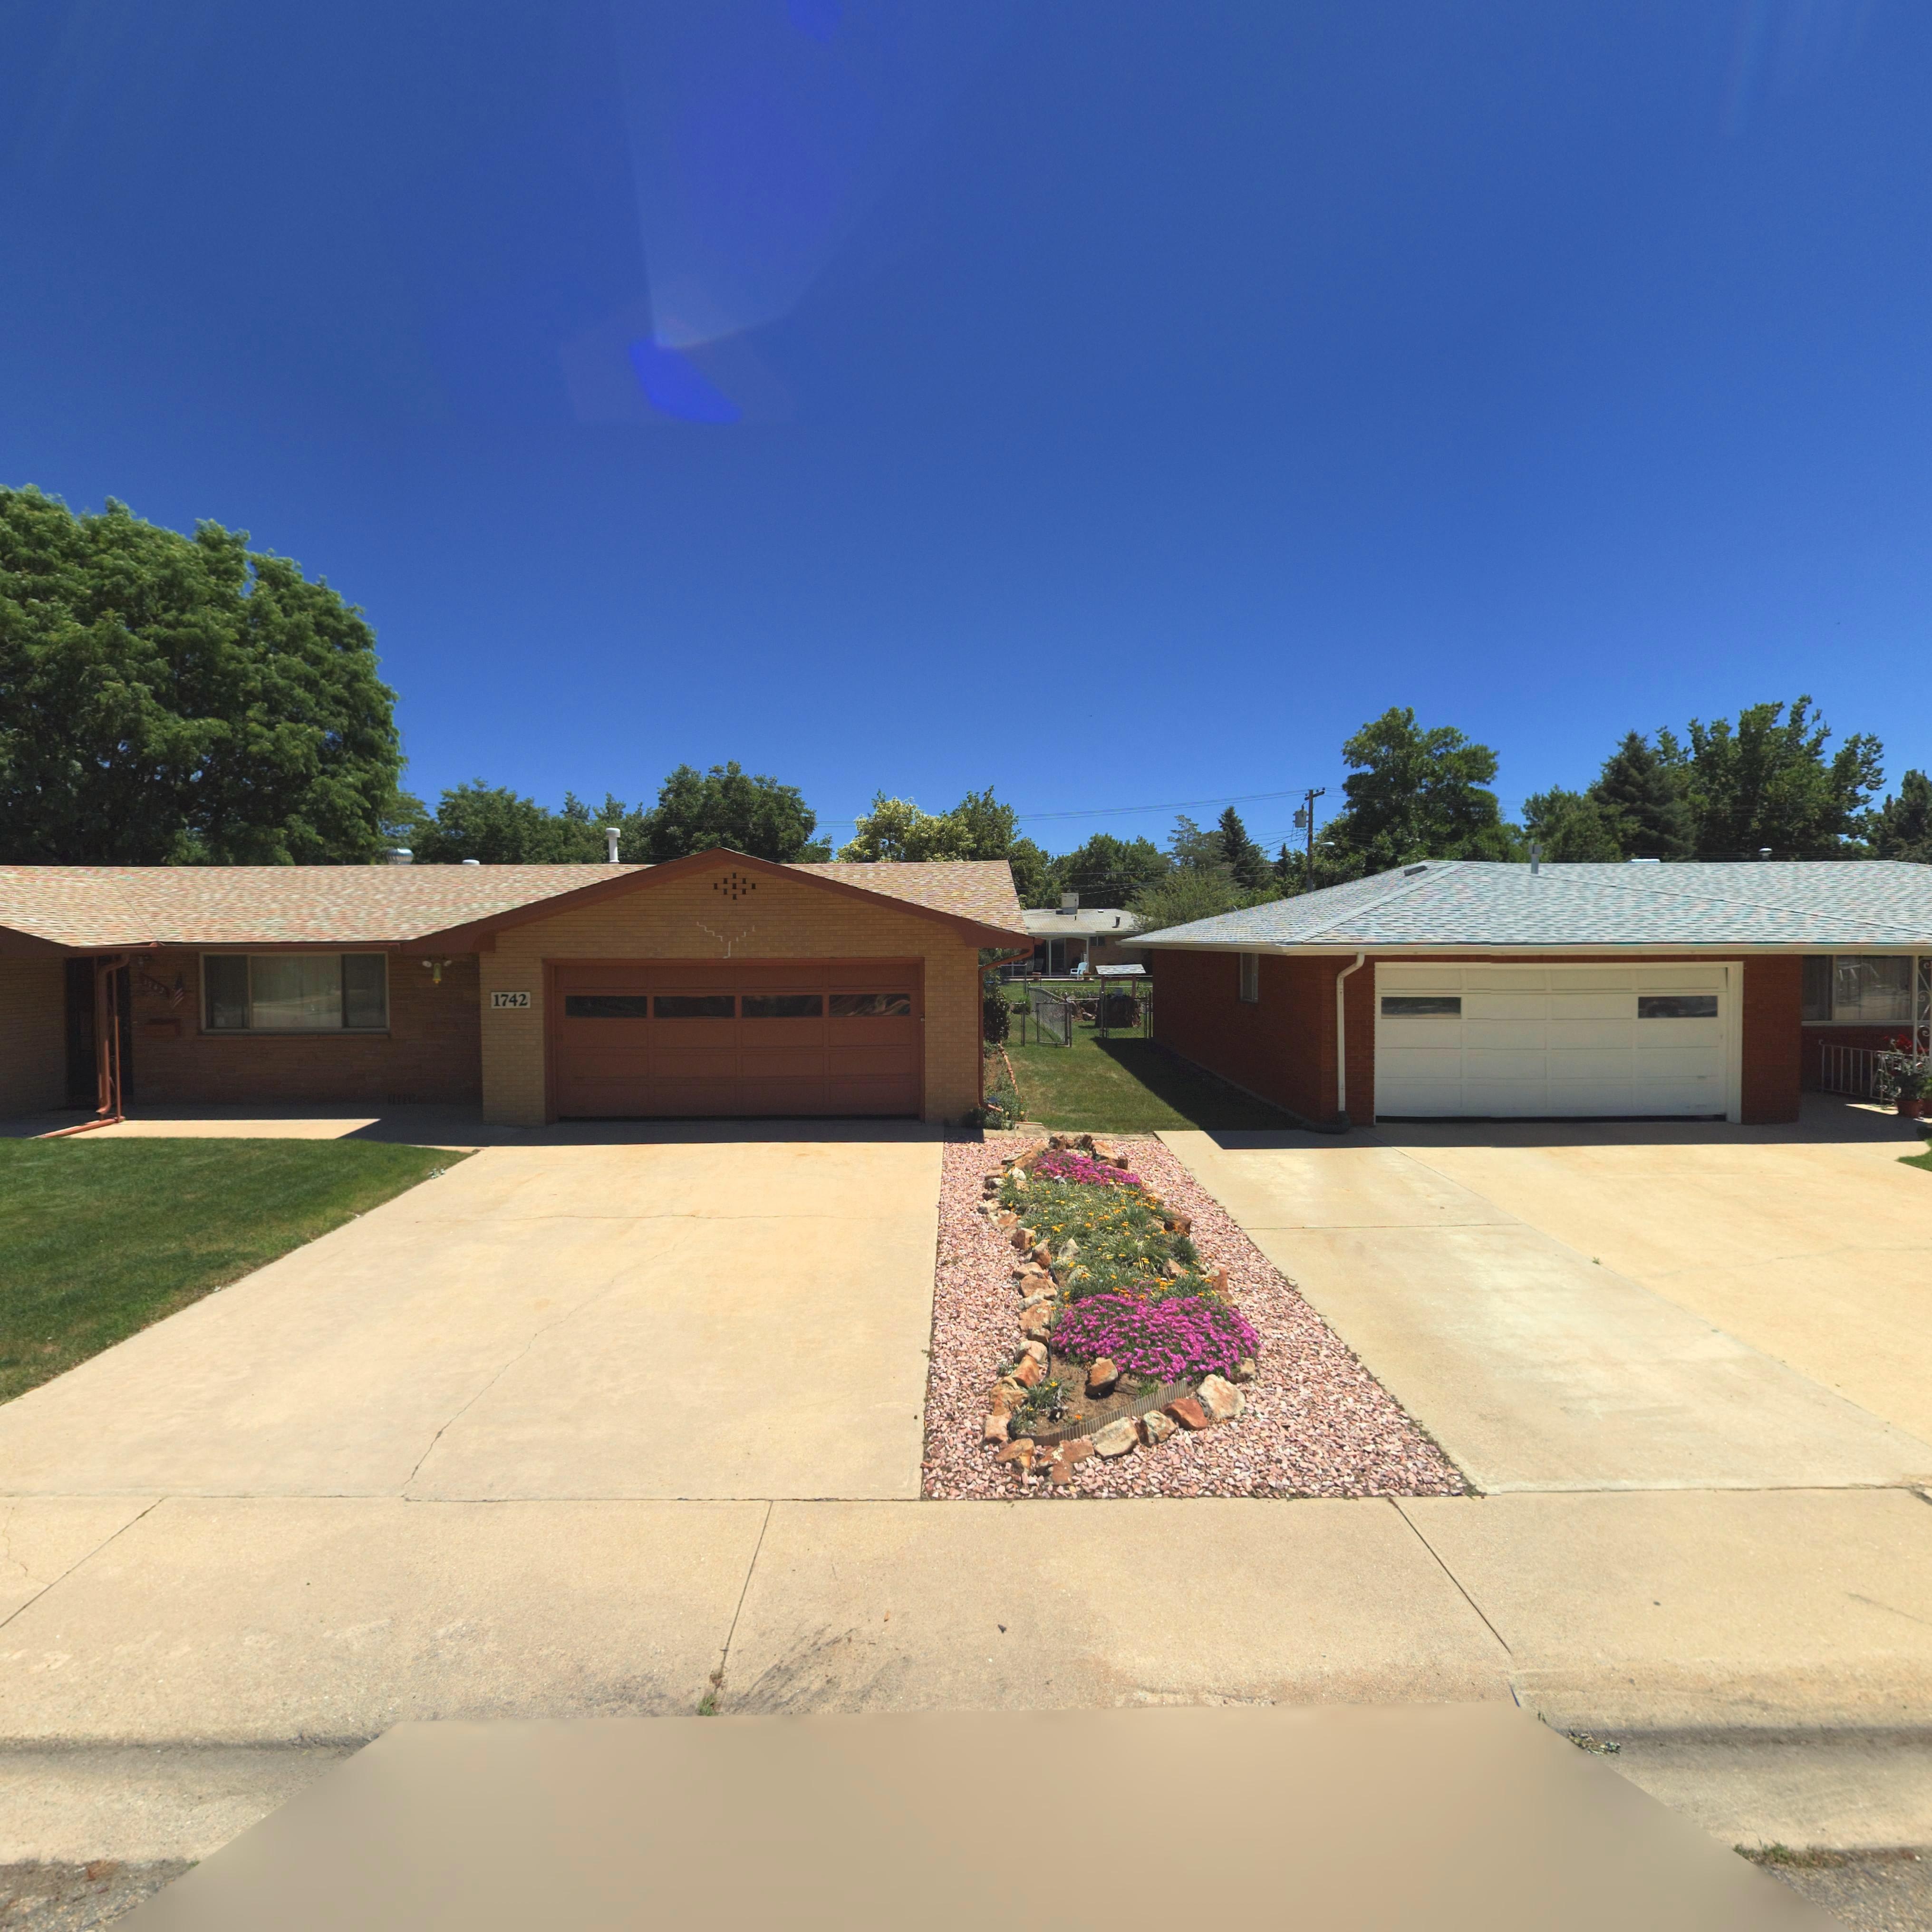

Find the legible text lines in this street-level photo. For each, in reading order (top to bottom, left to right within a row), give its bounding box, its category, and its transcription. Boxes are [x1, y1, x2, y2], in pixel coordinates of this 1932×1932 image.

[144, 976, 165, 995] StreetNumber: 1742
[493, 994, 529, 1006] StreetNumber: 1742